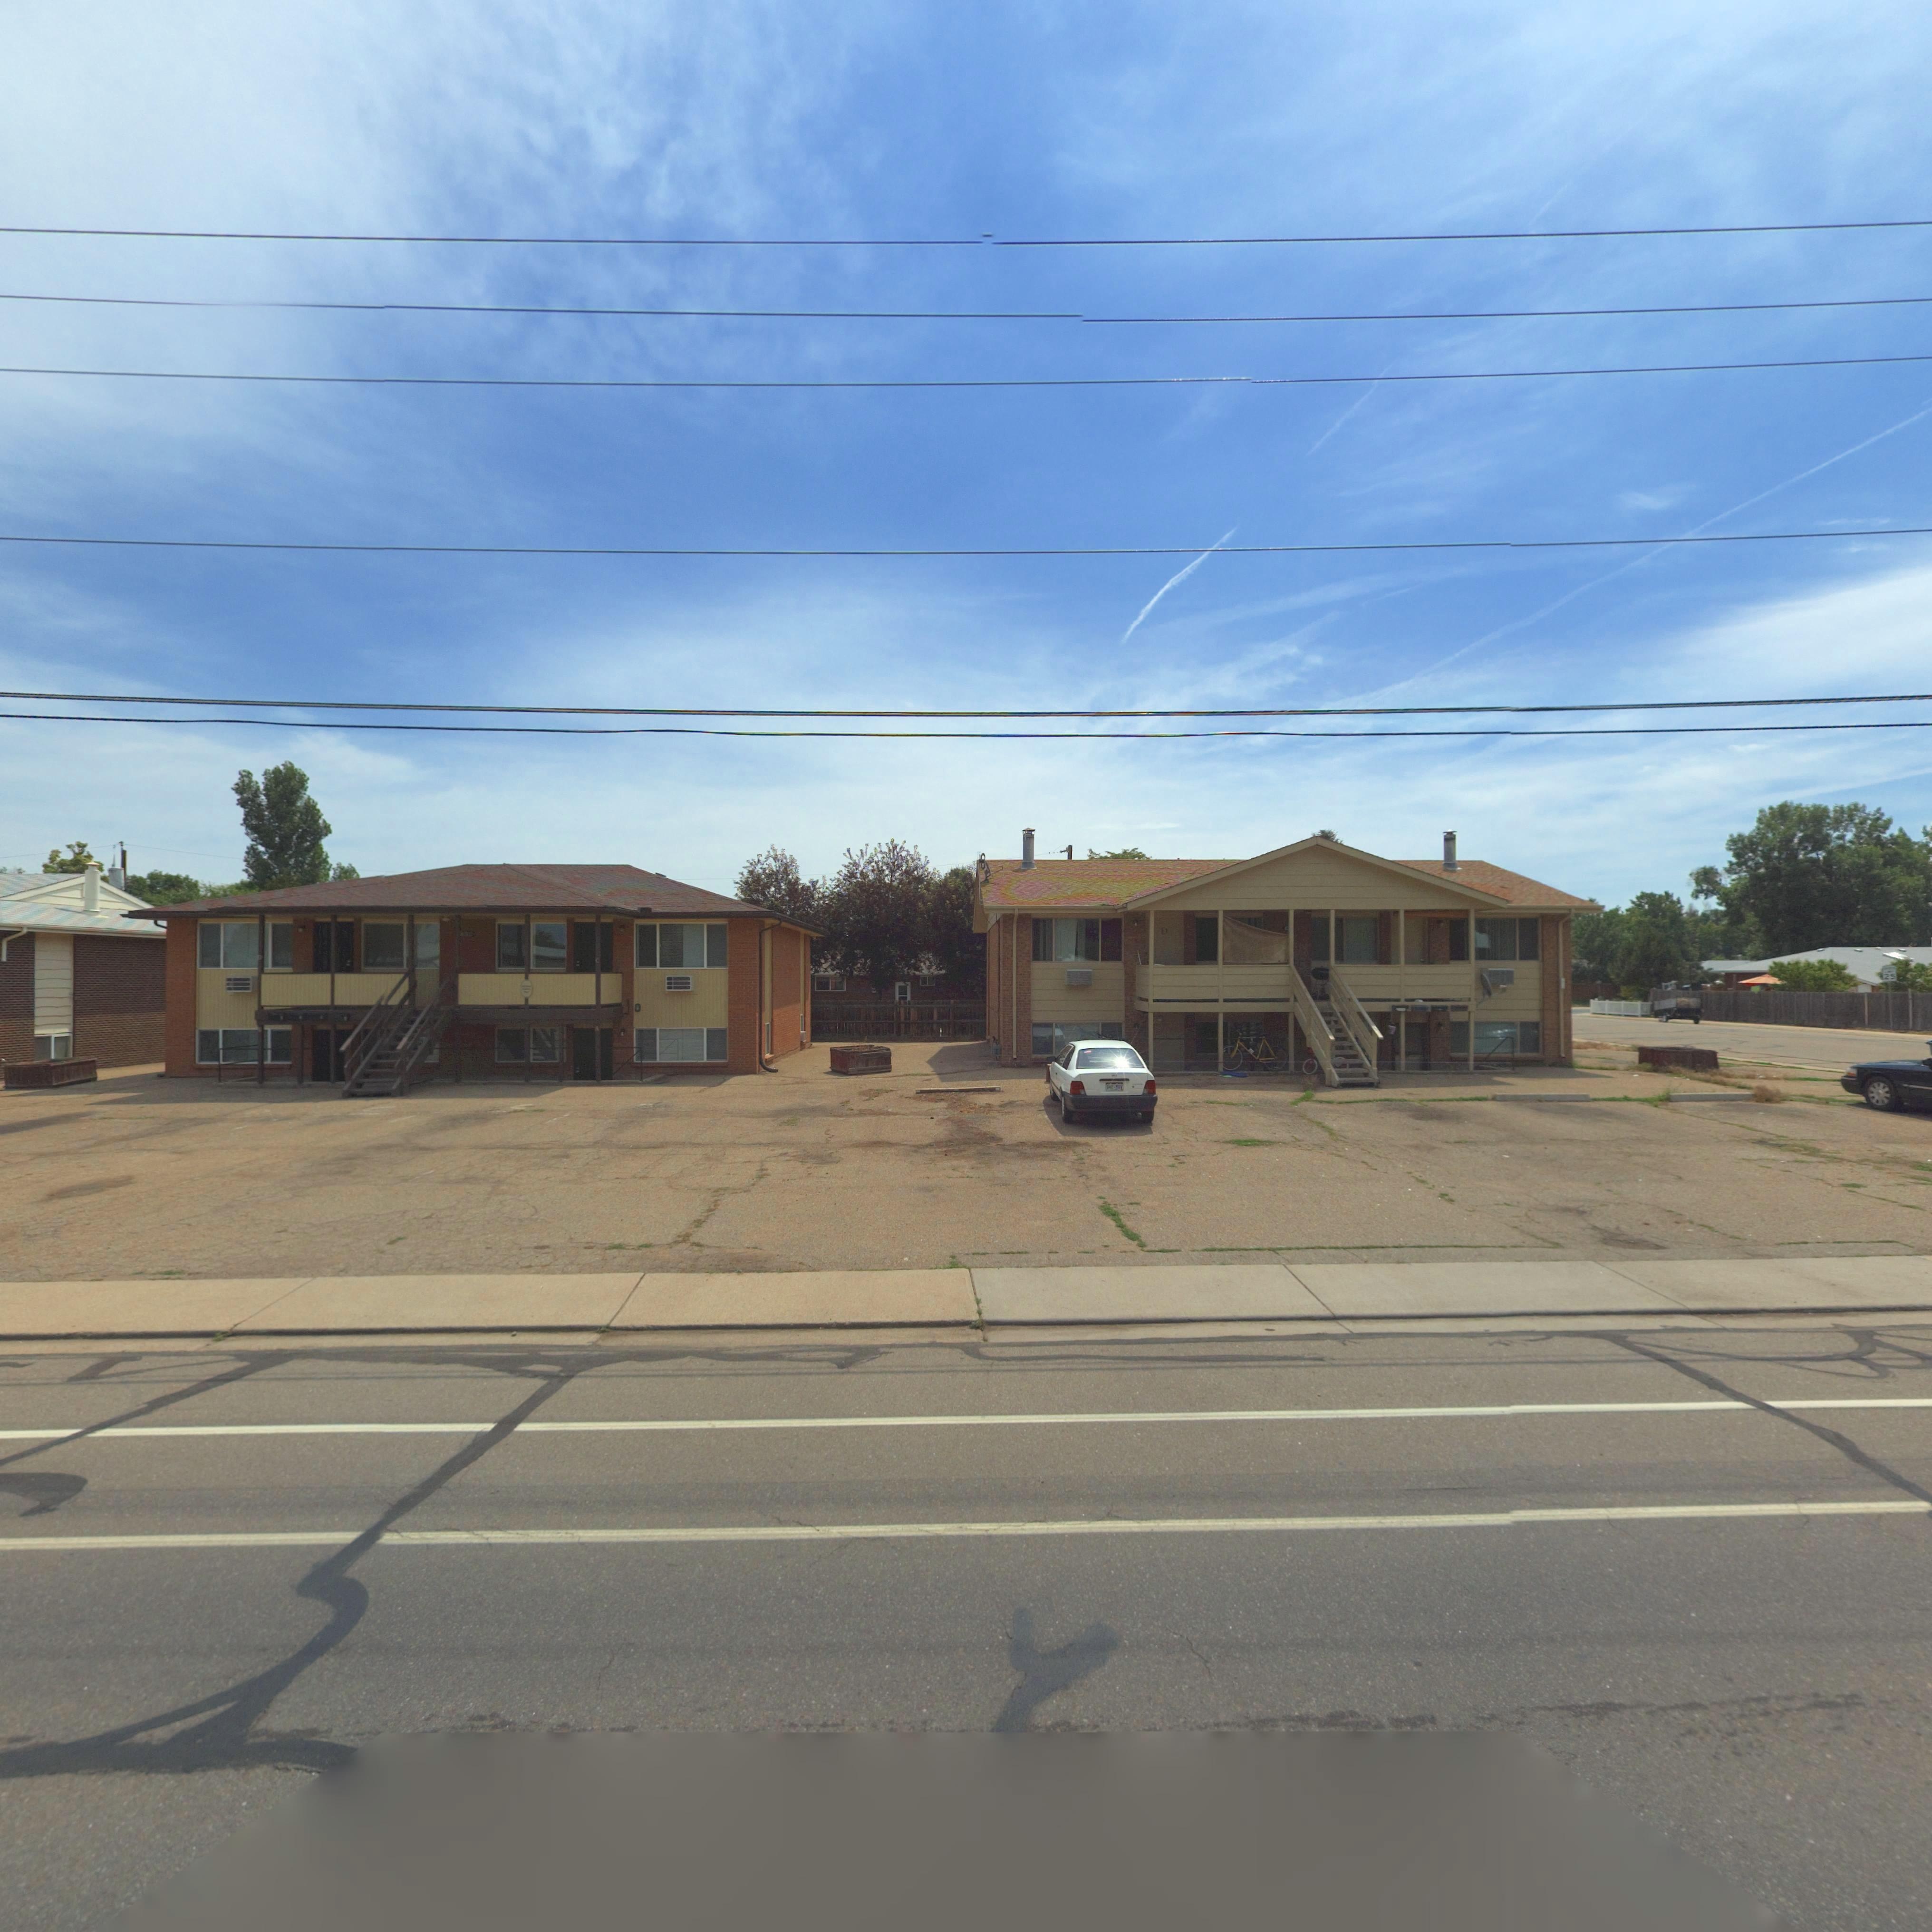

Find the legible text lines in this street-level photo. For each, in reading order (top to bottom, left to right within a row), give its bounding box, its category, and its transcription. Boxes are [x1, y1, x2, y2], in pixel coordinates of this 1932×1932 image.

[1161, 927, 1168, 935] StreetNumber: D